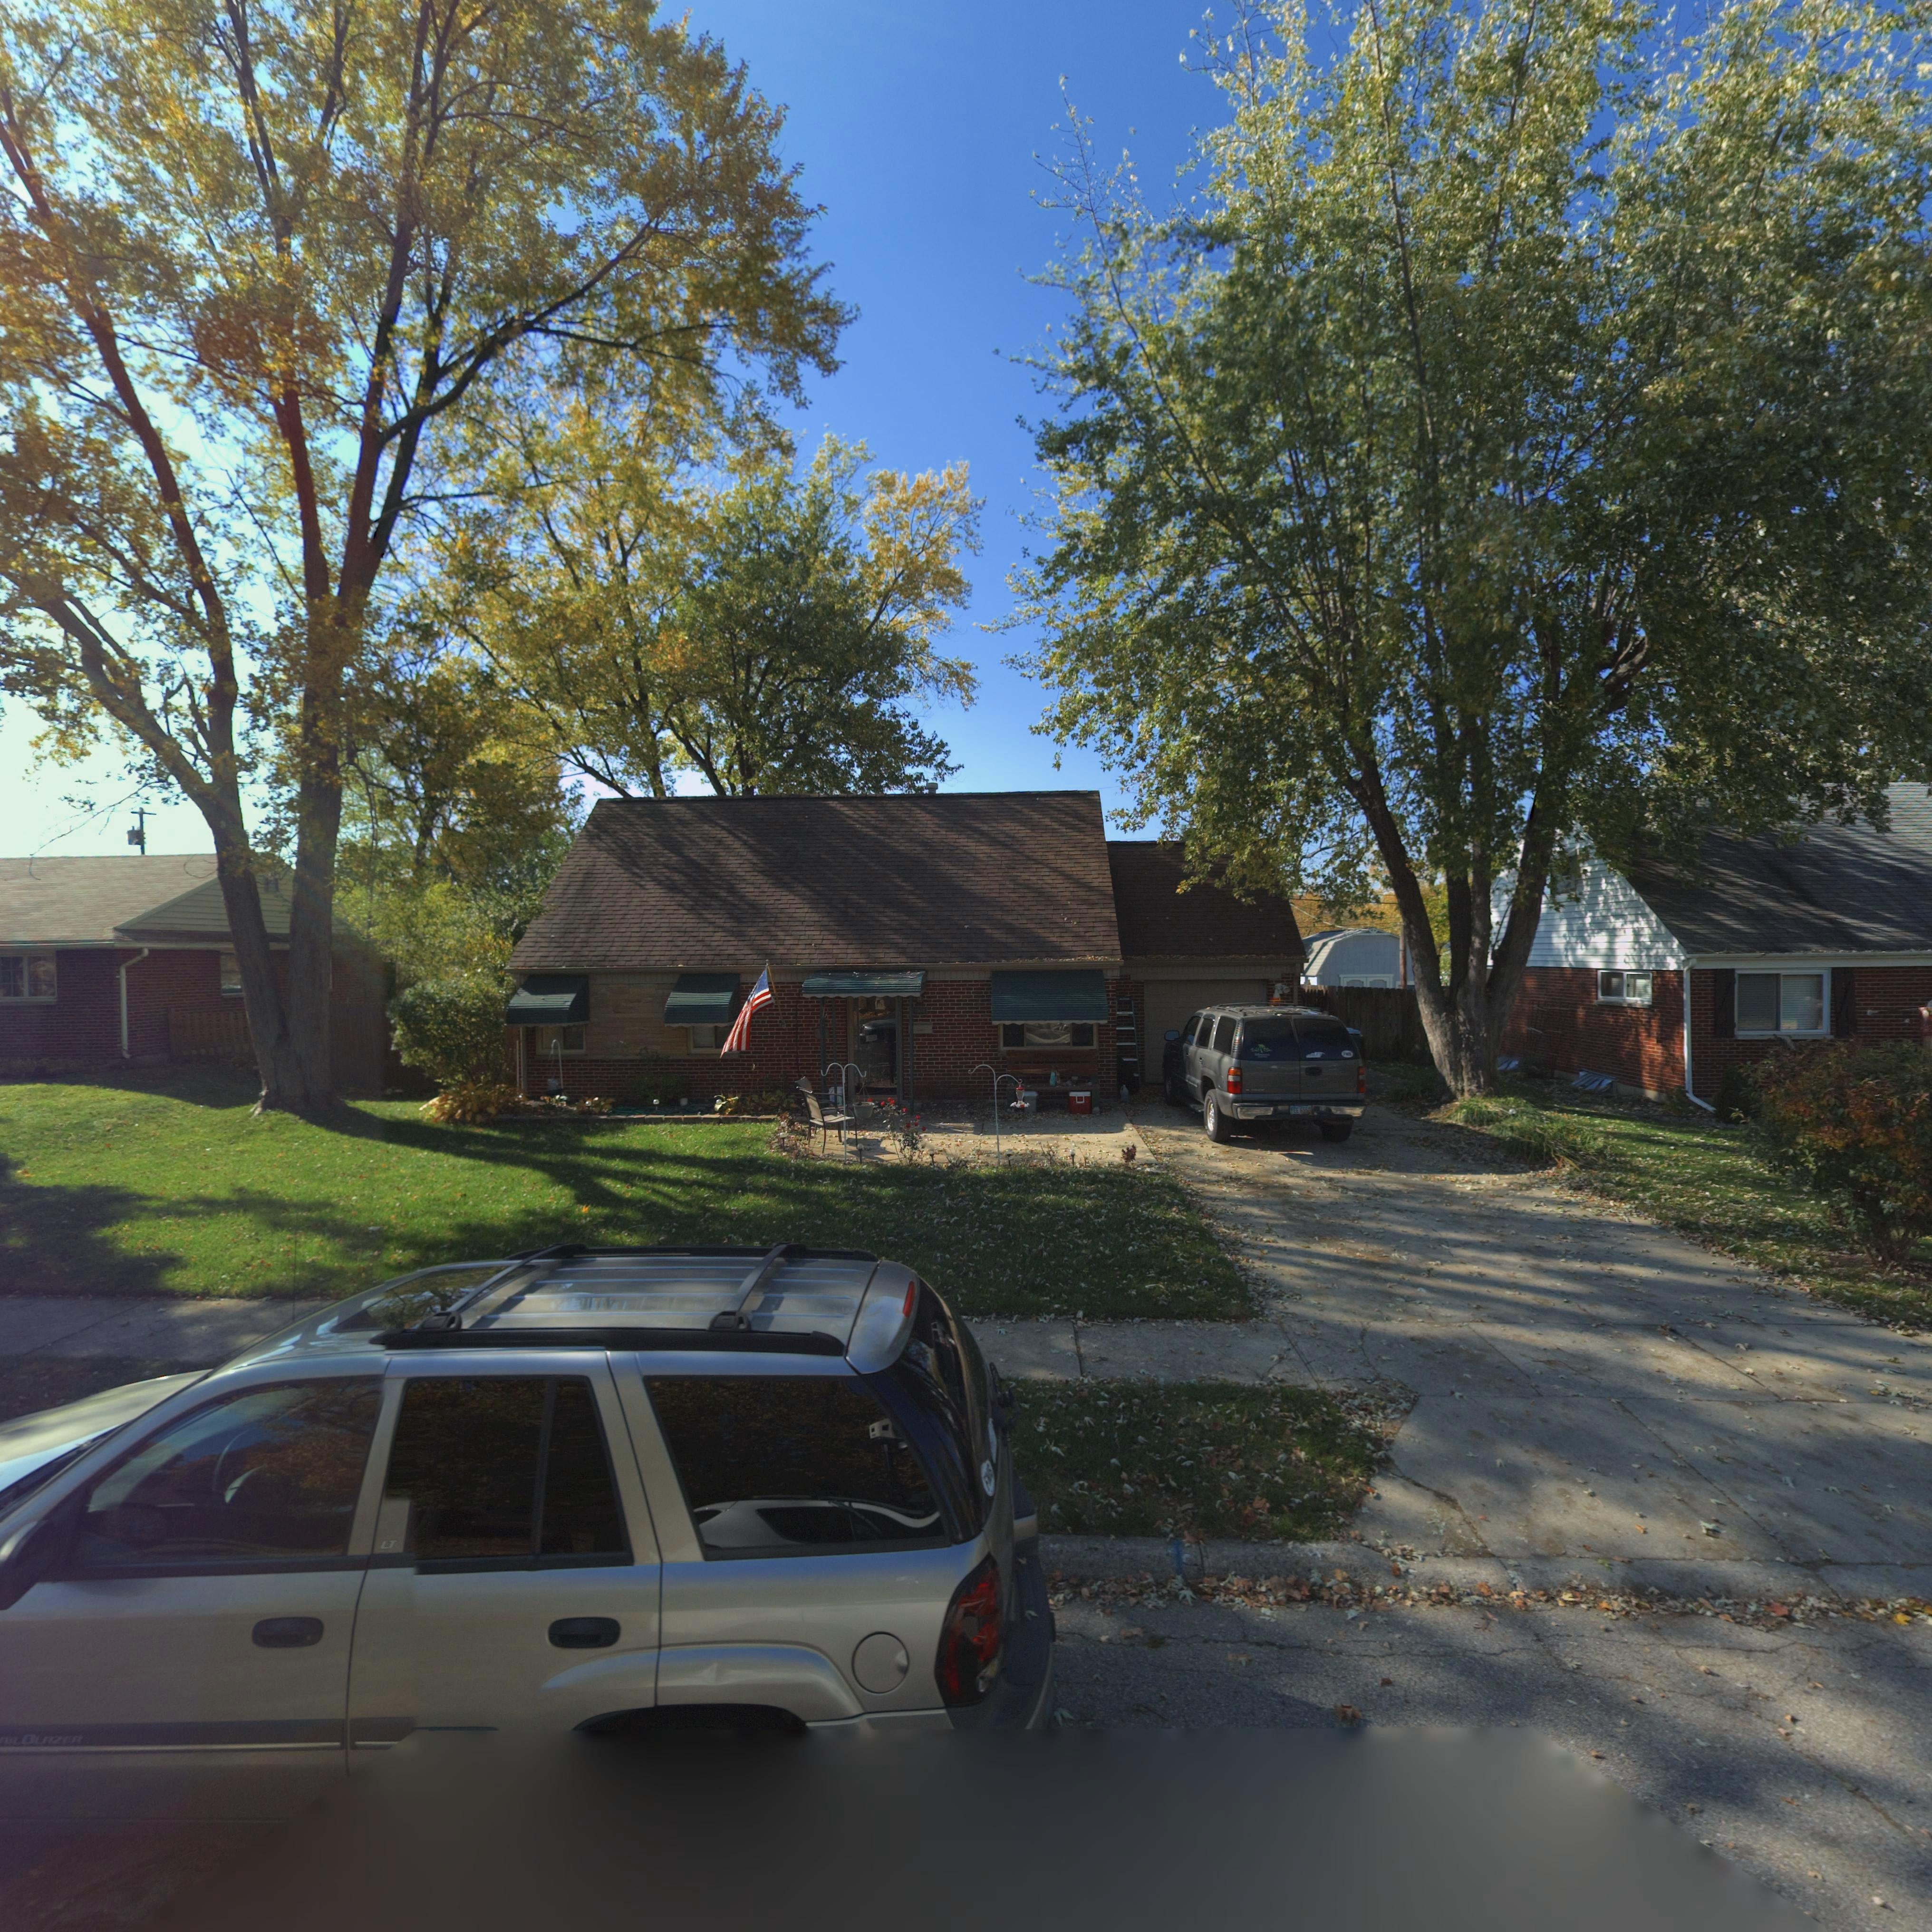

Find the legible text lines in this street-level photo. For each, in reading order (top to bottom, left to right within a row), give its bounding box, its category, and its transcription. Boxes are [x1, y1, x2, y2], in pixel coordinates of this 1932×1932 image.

[1343, 1051, 1352, 1056] None: F**
[1290, 1107, 1311, 1113] None: FEE*655*
[981, 1462, 995, 1494] None: F*B
[379, 1540, 399, 1549] None: LT